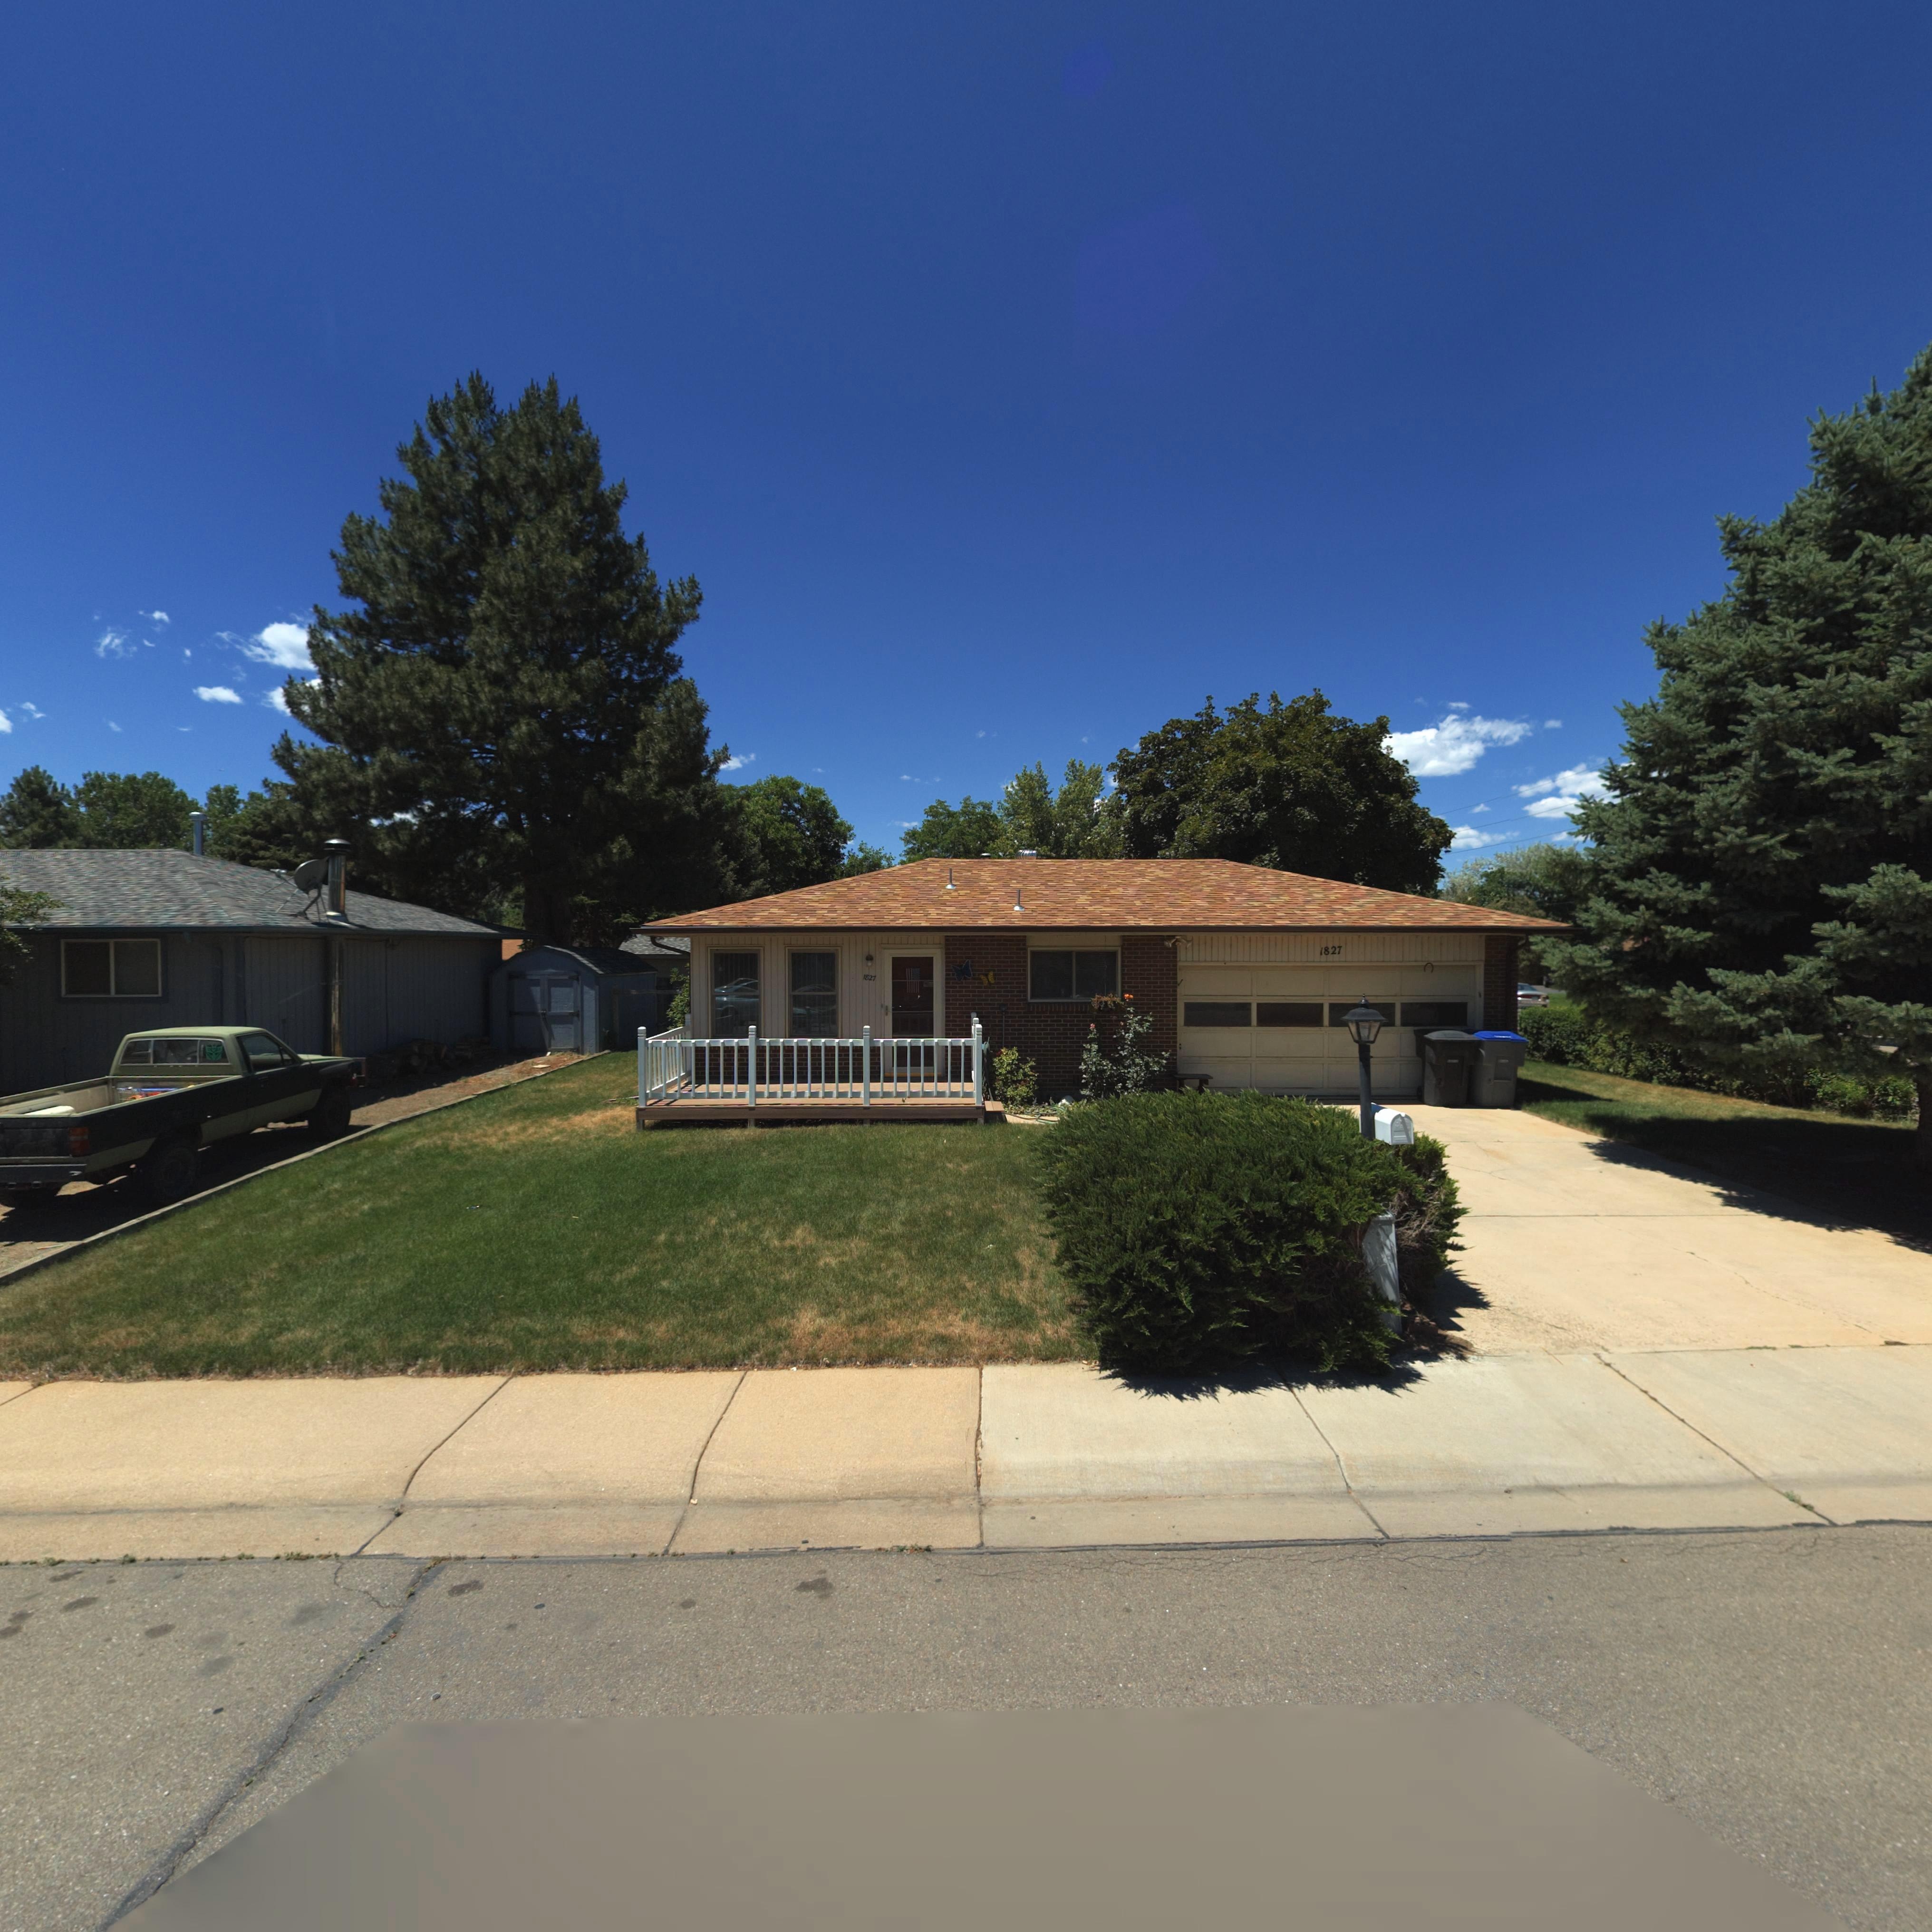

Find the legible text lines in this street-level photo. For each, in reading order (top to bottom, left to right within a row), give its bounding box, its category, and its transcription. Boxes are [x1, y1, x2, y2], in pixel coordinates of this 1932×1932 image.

[1320, 945, 1343, 956] StreetNumber: 1827
[862, 974, 877, 982] StreetNumber: 1827